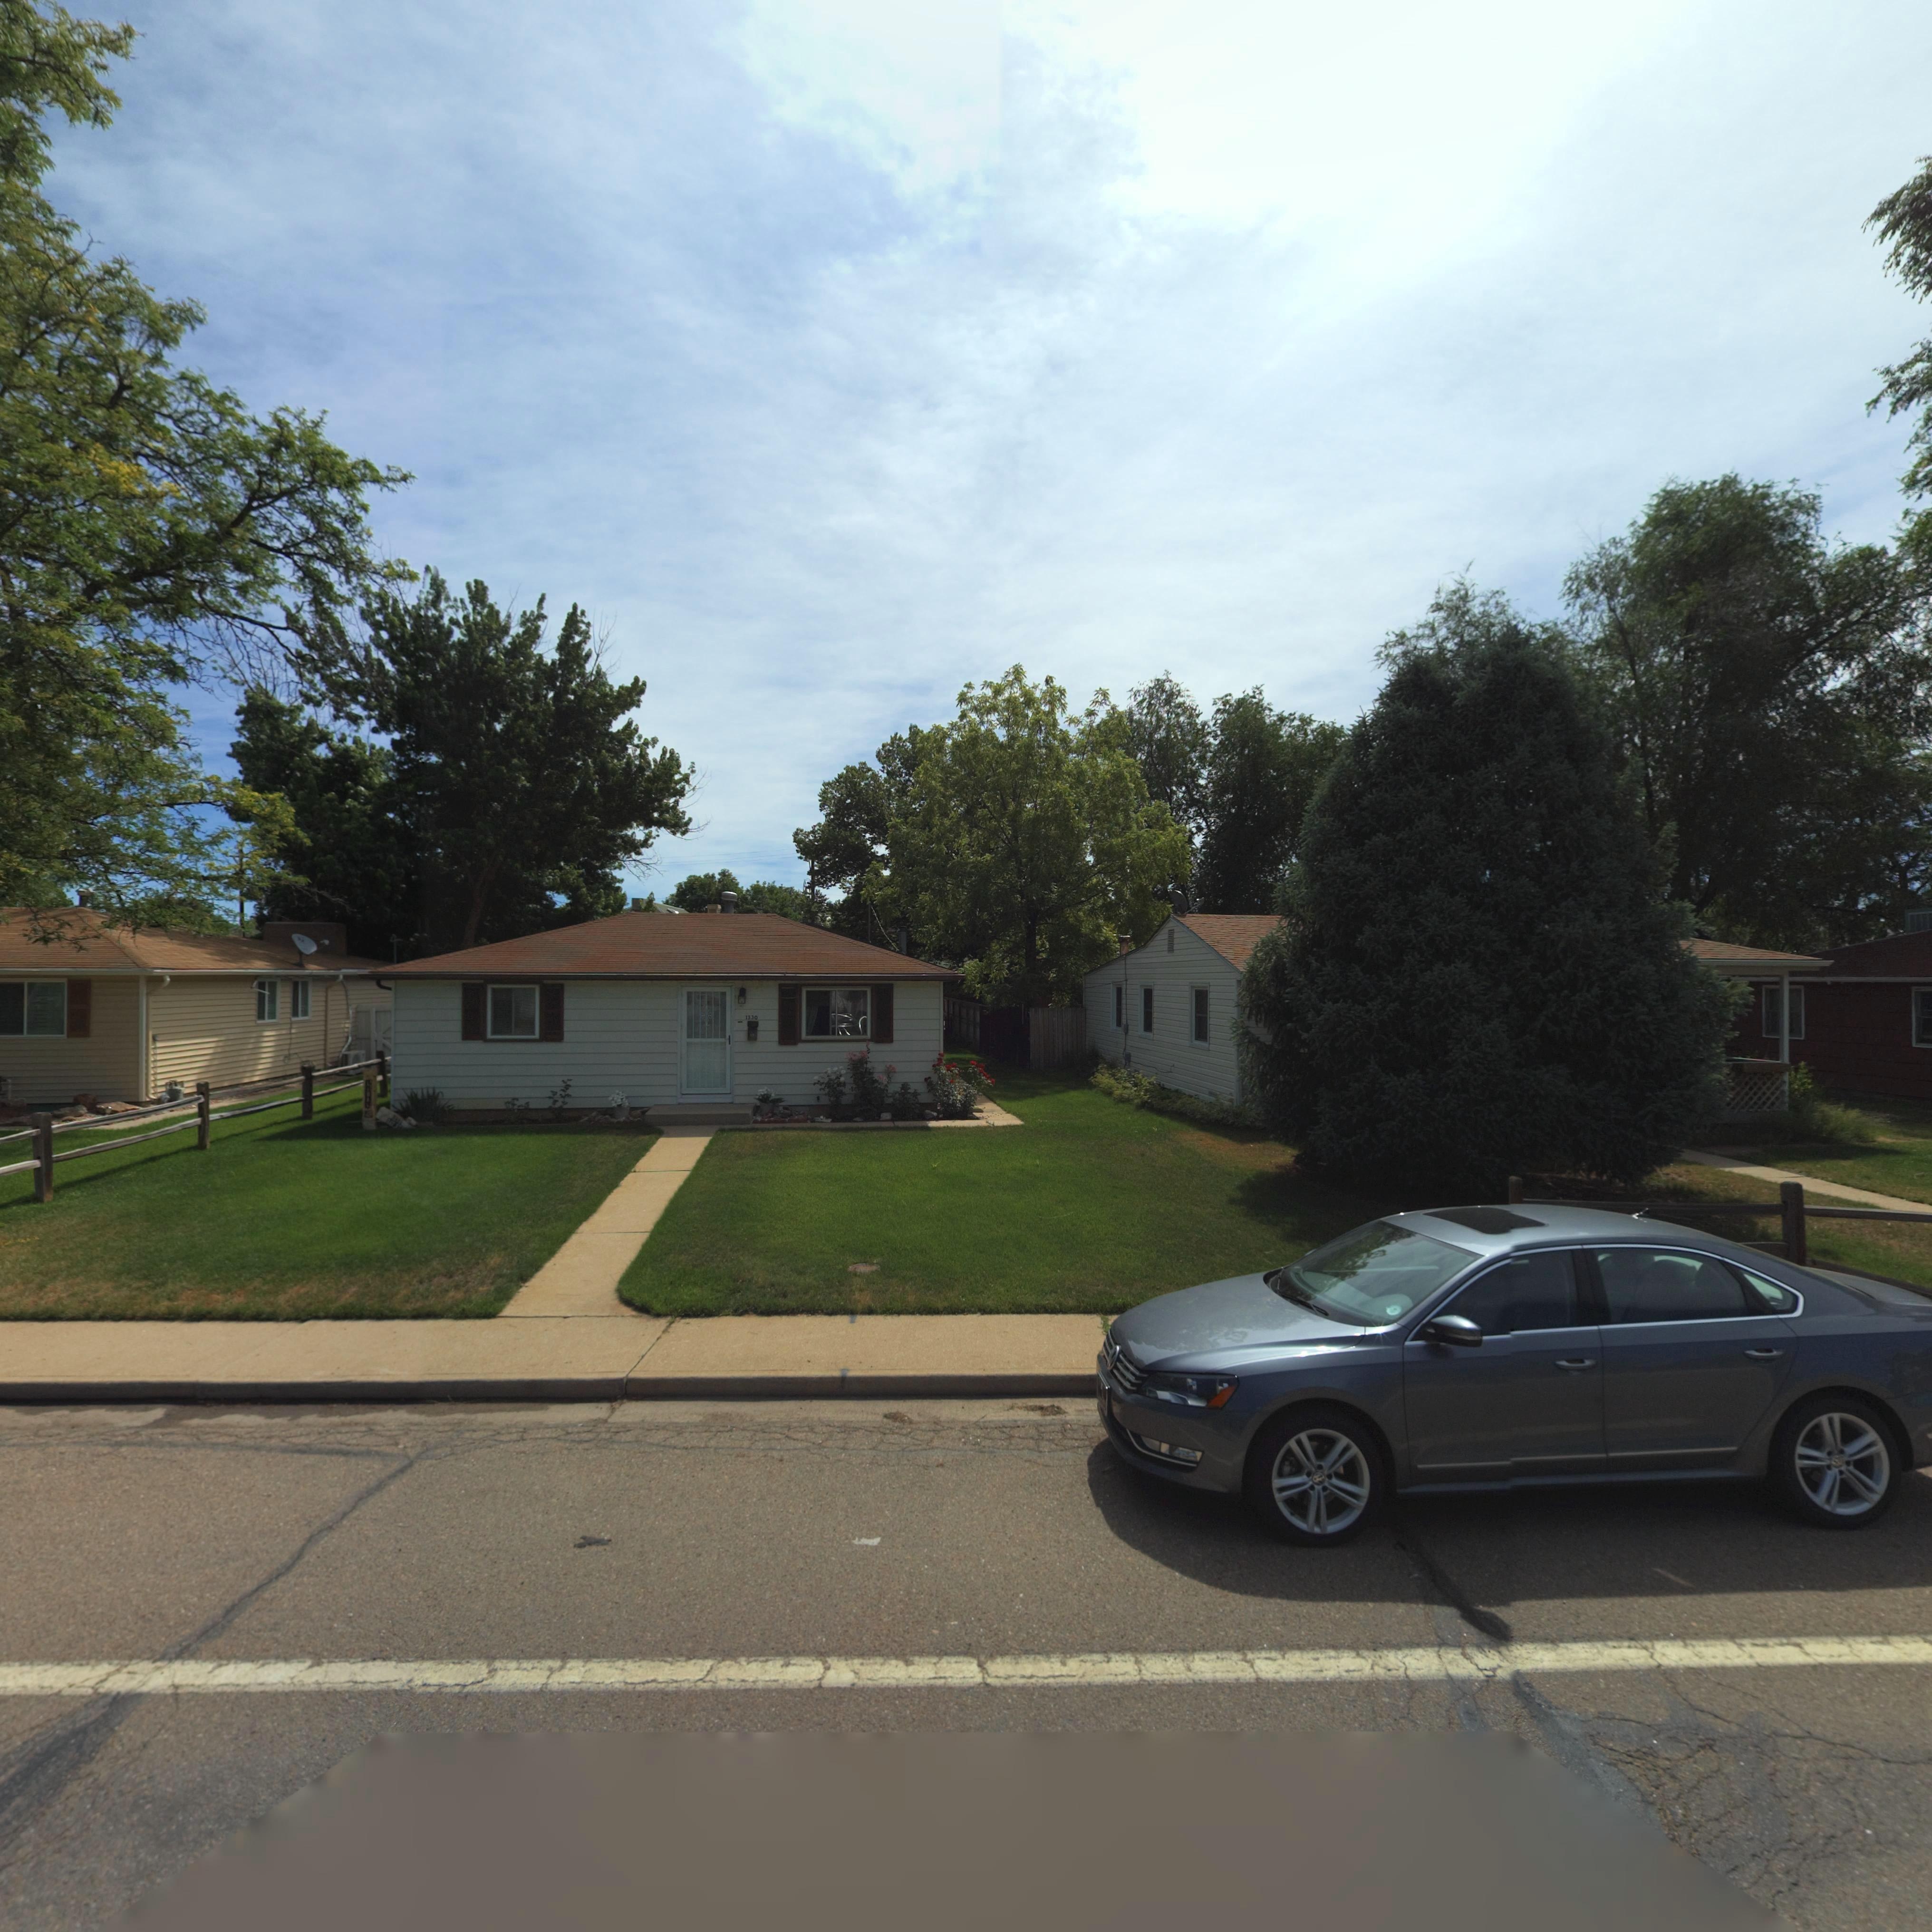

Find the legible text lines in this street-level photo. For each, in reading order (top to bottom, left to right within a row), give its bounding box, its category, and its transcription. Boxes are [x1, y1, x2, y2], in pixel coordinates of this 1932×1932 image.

[745, 1015, 757, 1020] StreetNumber: 1330